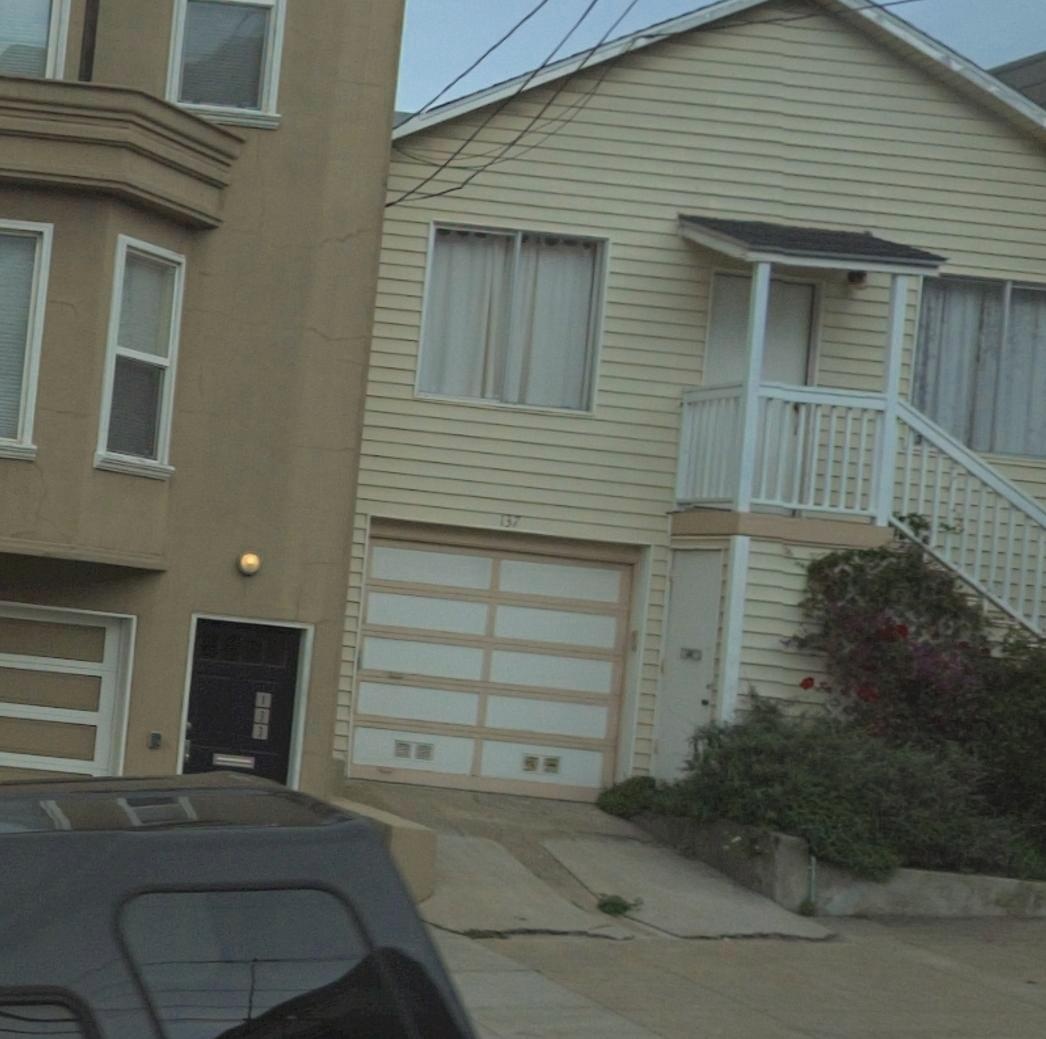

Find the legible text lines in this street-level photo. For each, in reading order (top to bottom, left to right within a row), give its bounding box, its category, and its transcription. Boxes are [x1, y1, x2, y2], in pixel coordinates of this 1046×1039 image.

[499, 513, 524, 528] StreetNumber: 137
[256, 694, 267, 739] StreetNumber: 133